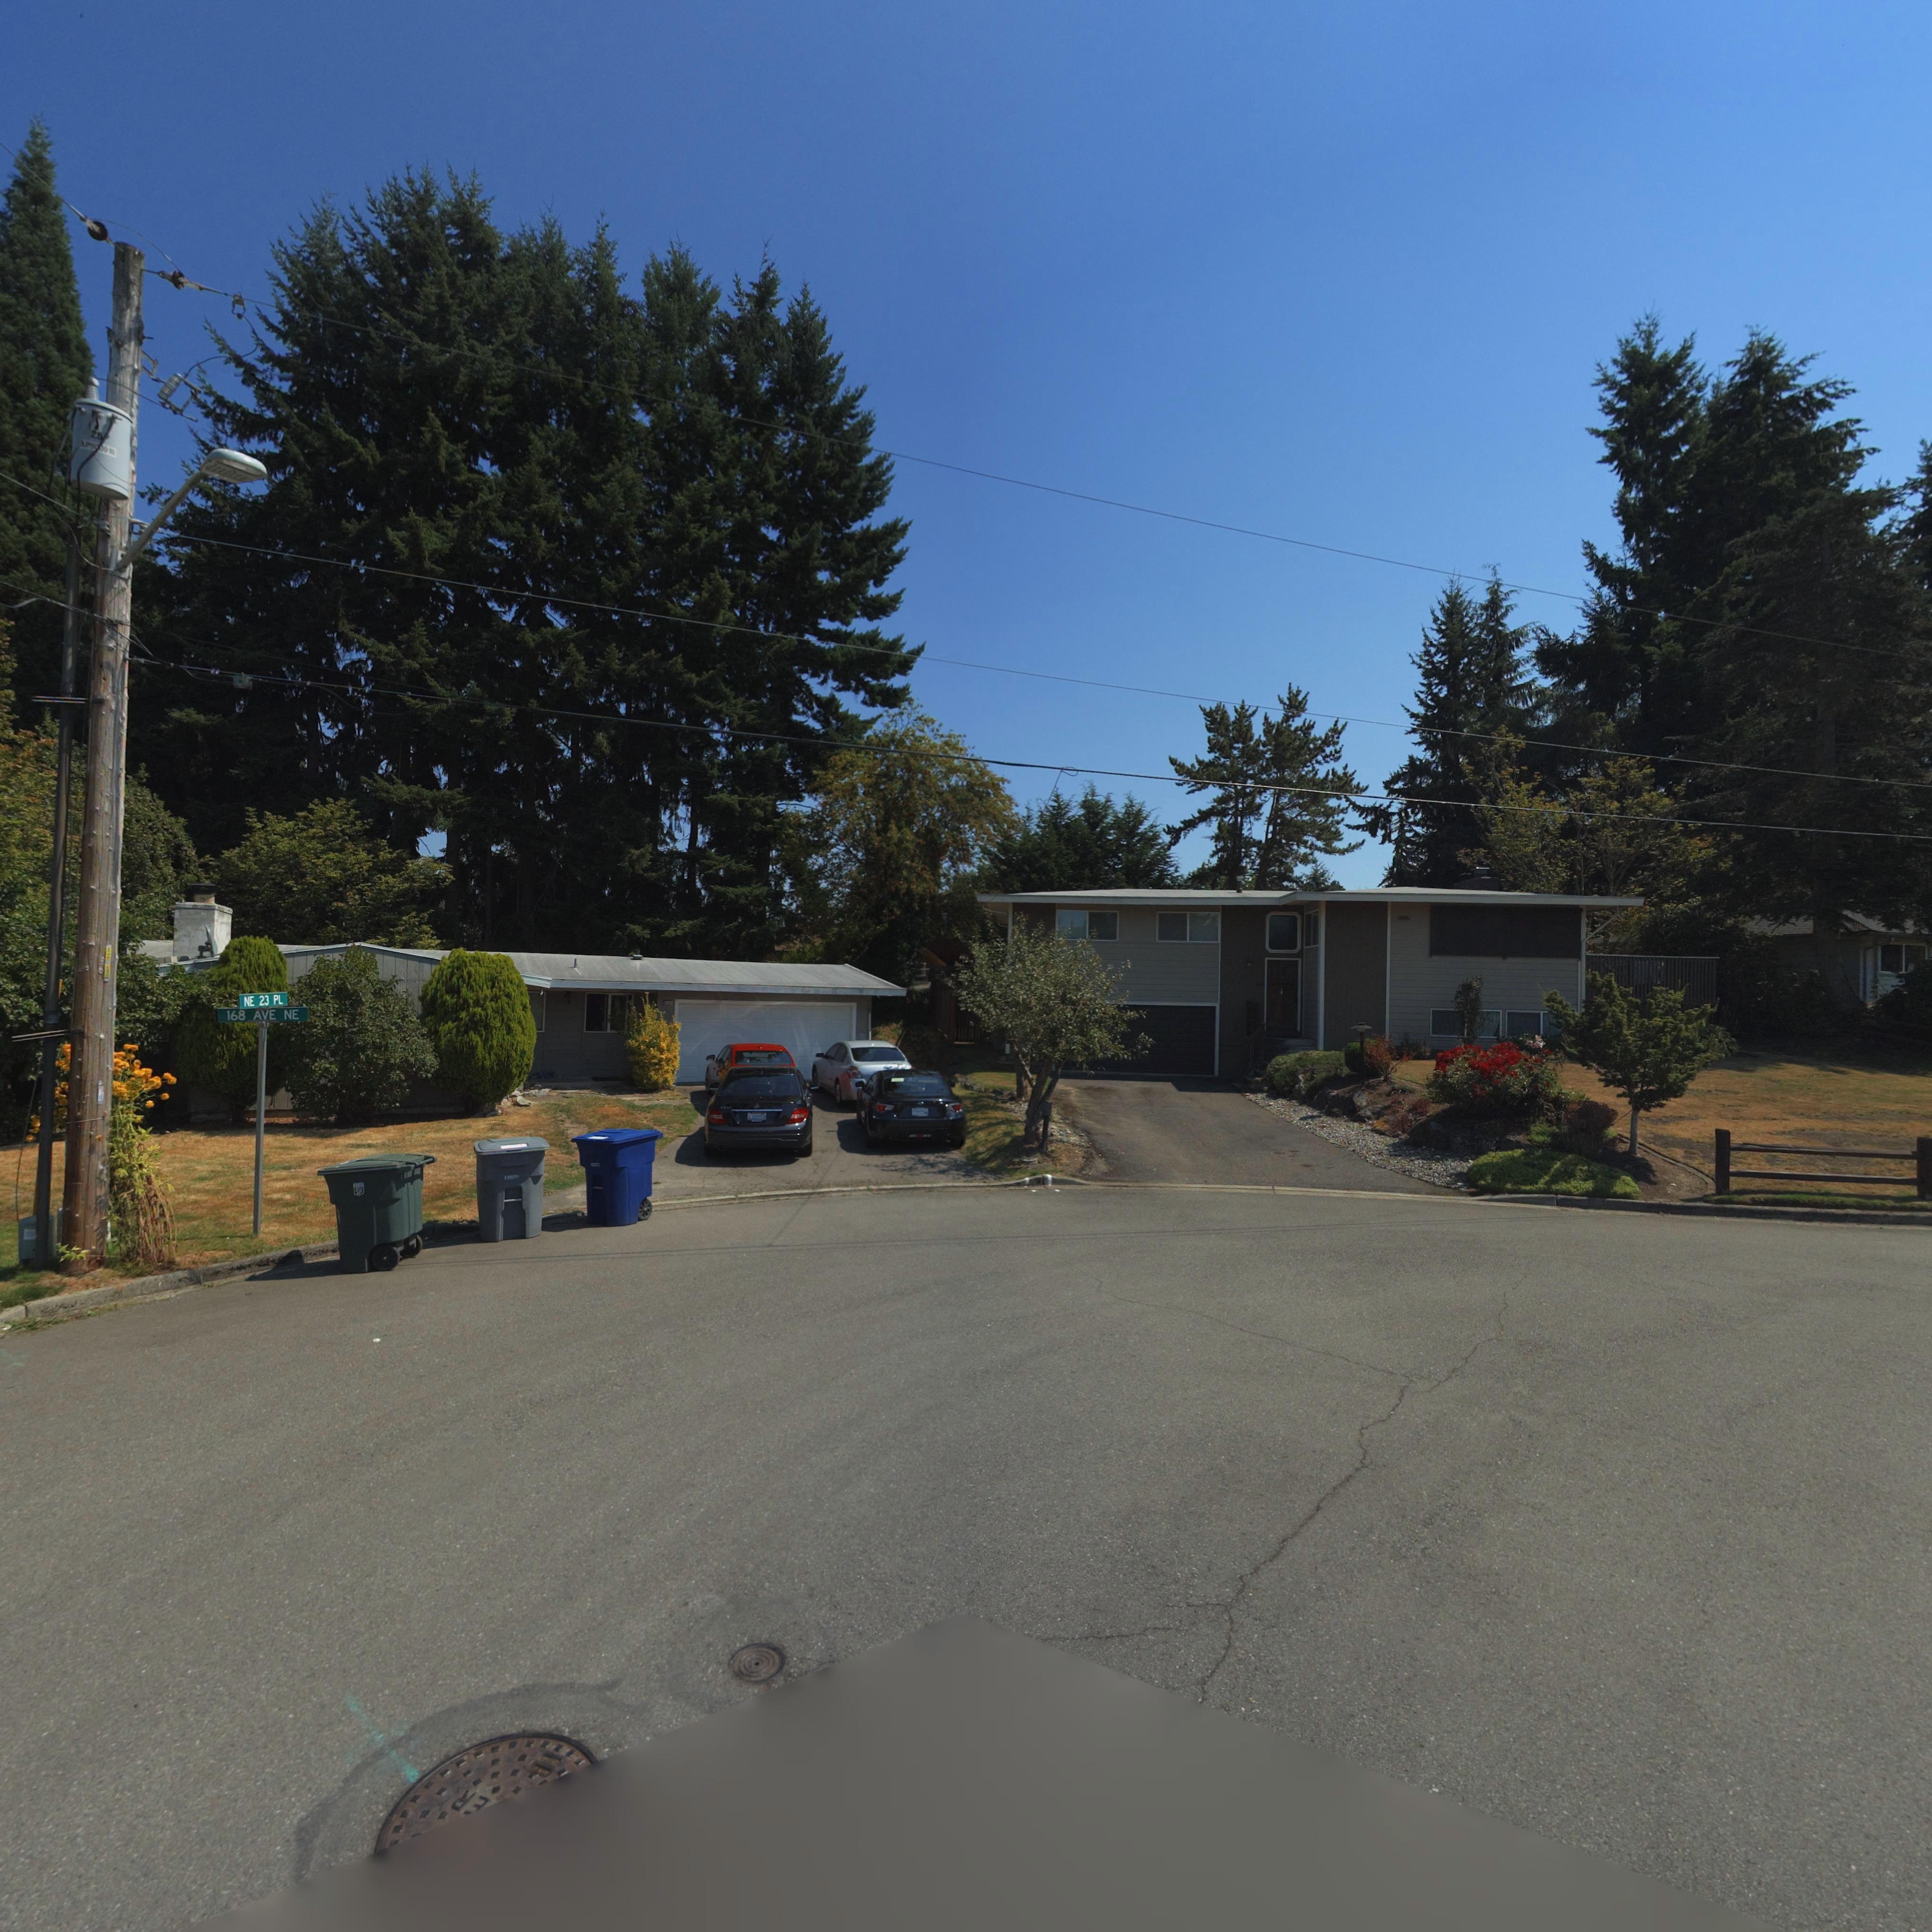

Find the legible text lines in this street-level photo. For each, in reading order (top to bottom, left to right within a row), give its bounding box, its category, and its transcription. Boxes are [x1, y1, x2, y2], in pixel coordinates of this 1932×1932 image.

[243, 994, 283, 1006] StreetName: NE 23 PL
[226, 1008, 299, 1021] StreetName: 168 AVE NE